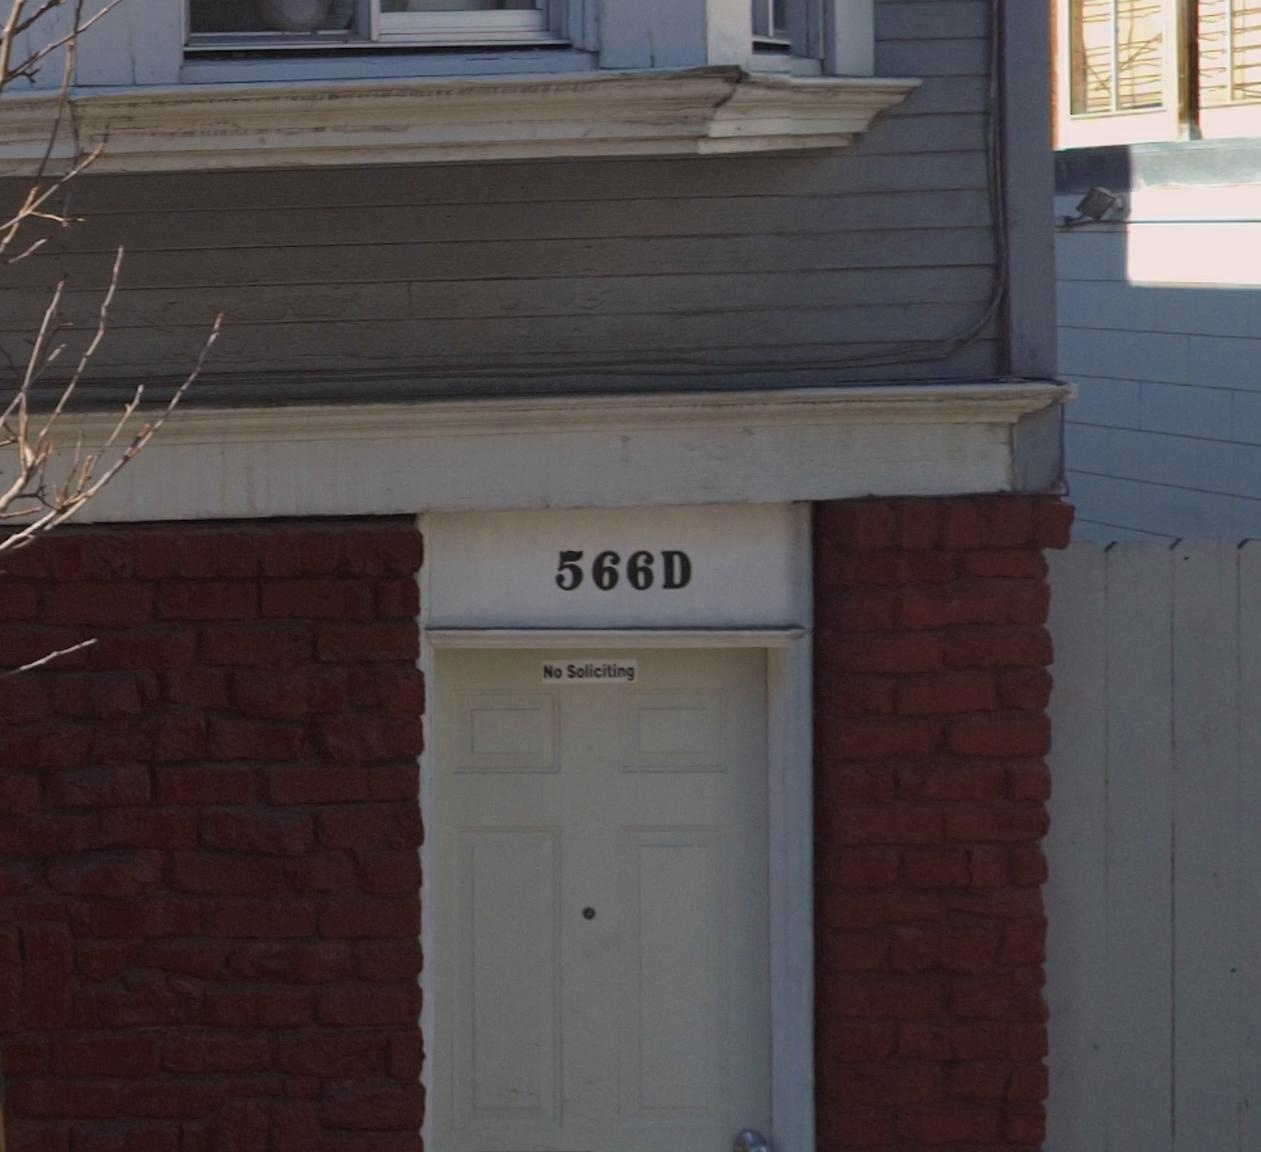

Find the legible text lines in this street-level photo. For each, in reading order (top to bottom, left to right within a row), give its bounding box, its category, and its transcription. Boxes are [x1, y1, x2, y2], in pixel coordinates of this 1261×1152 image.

[554, 548, 695, 593] StreetNumber: 566D
[542, 662, 636, 682] None: No Soliciting